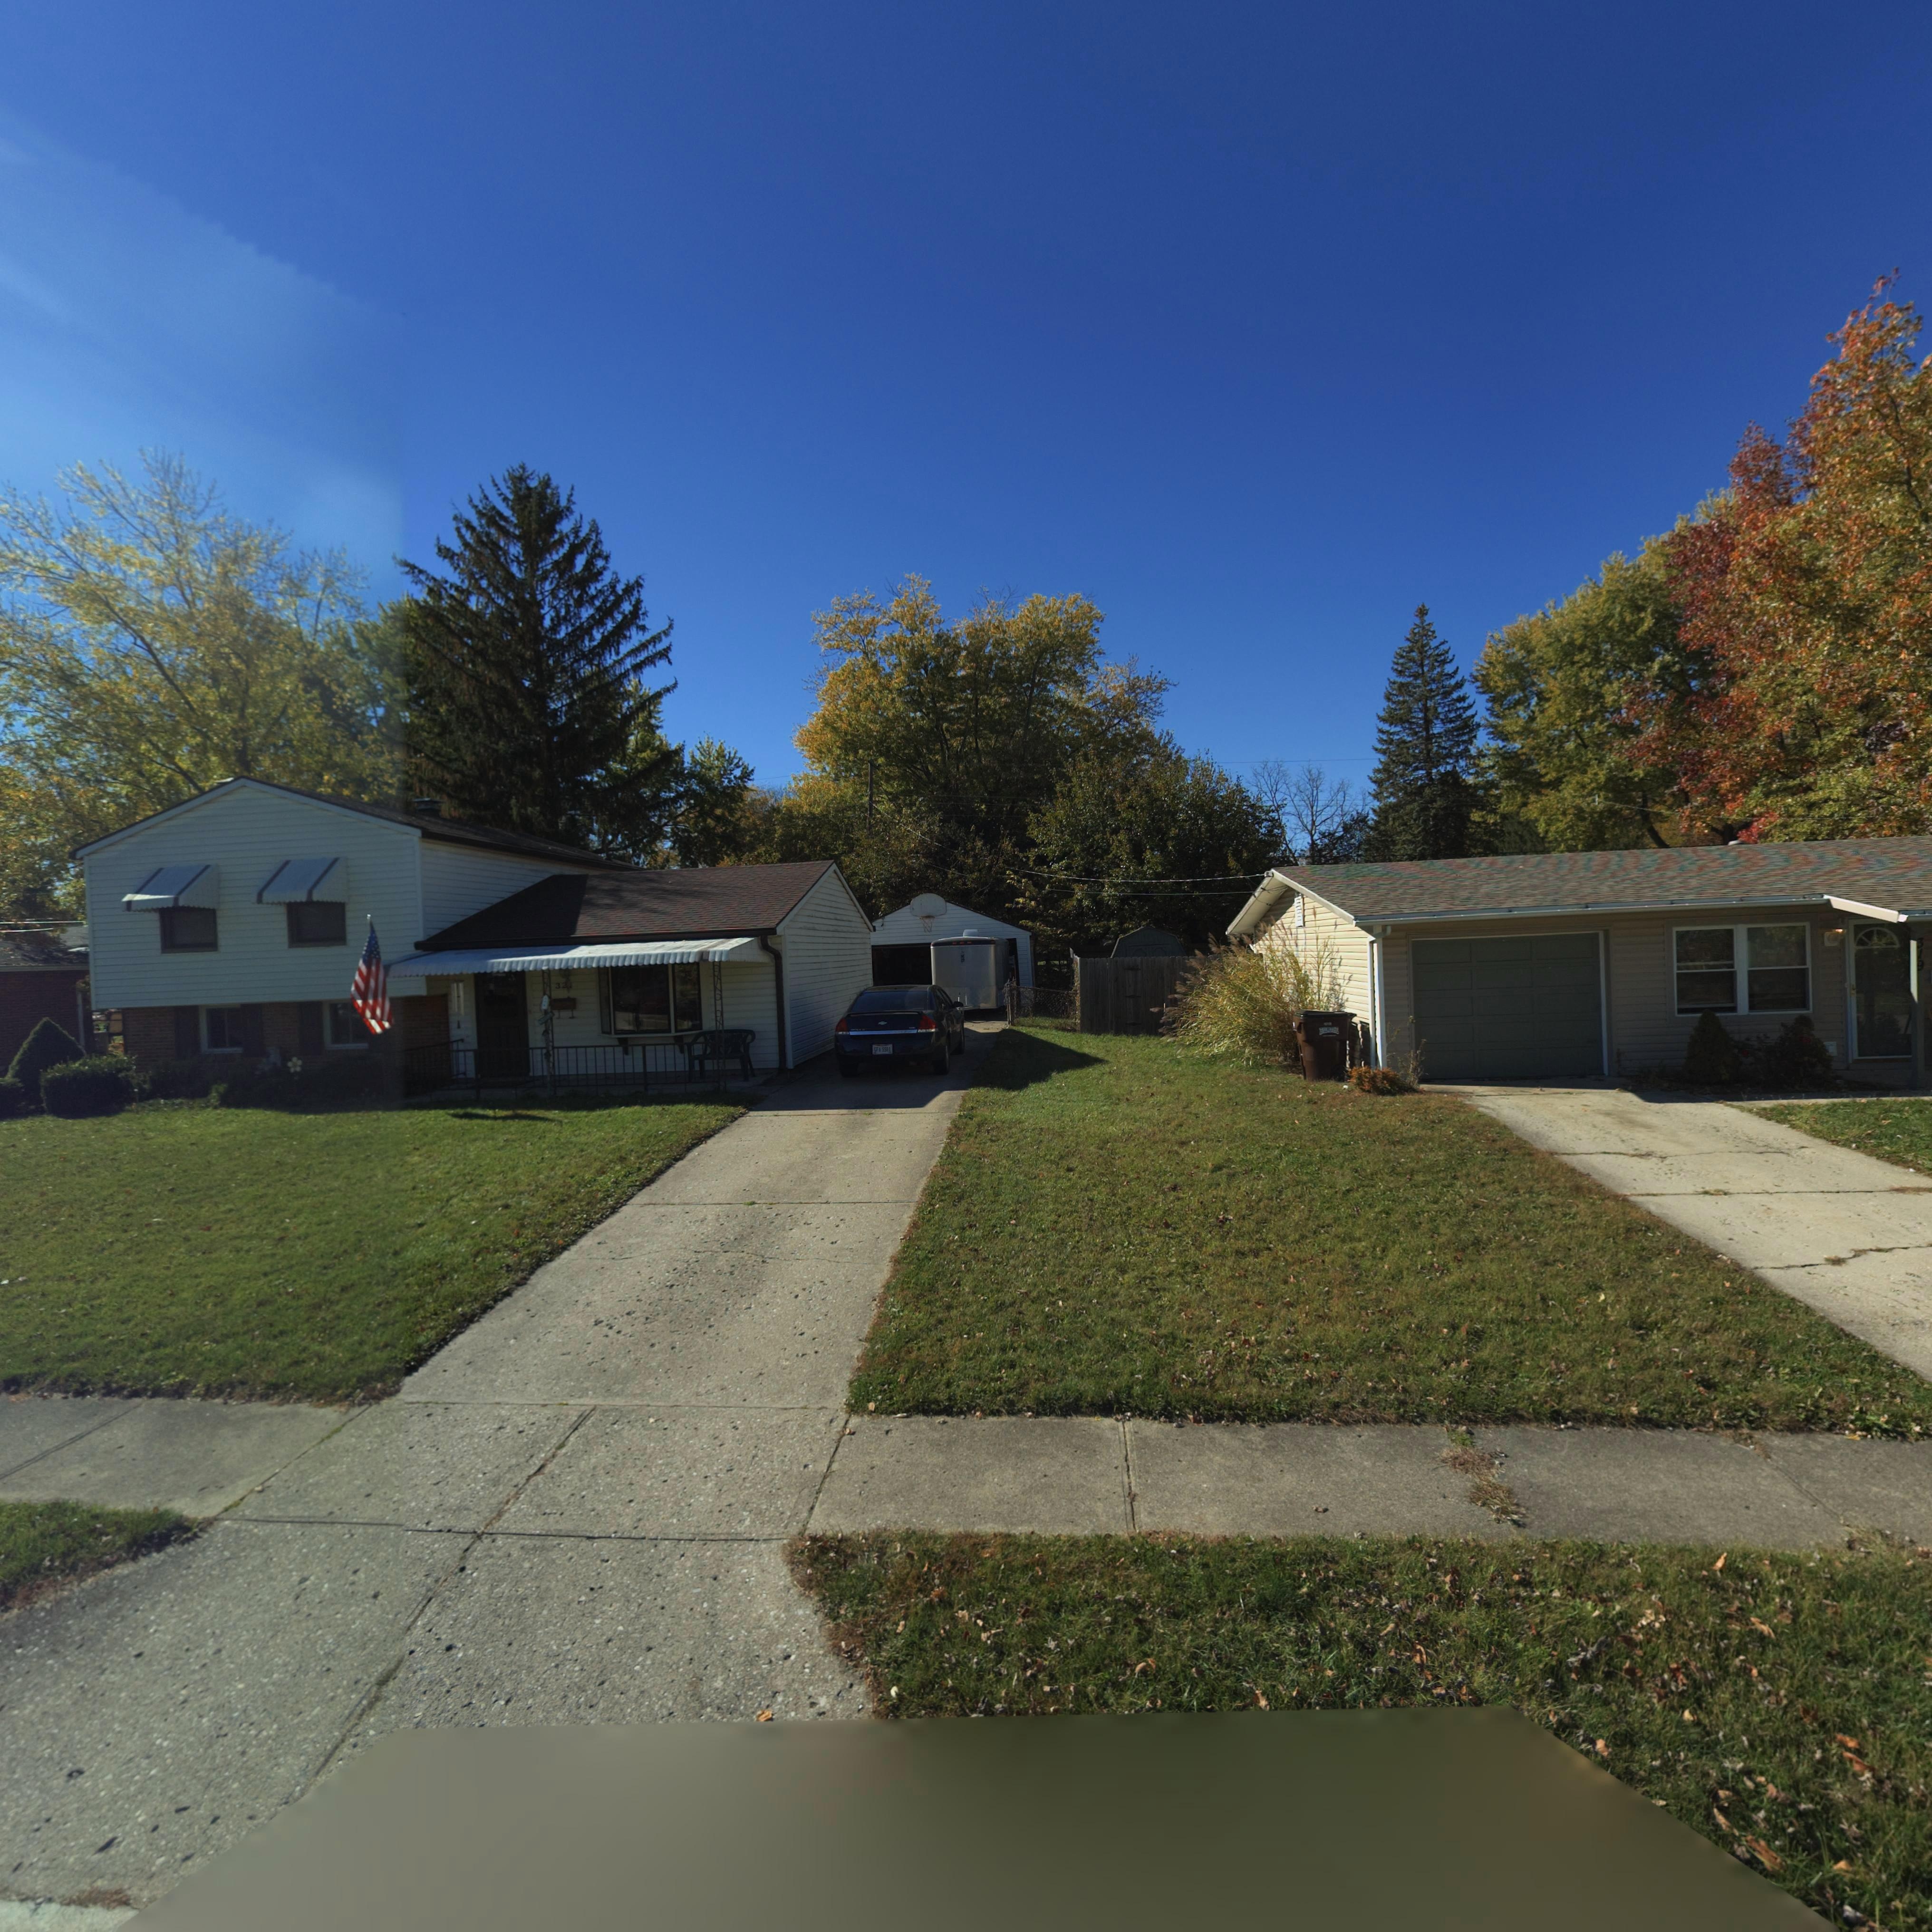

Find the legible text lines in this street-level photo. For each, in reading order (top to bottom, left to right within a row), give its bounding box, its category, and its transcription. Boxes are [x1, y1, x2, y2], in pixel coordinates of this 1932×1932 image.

[554, 981, 562, 990] StreetNumber: 3